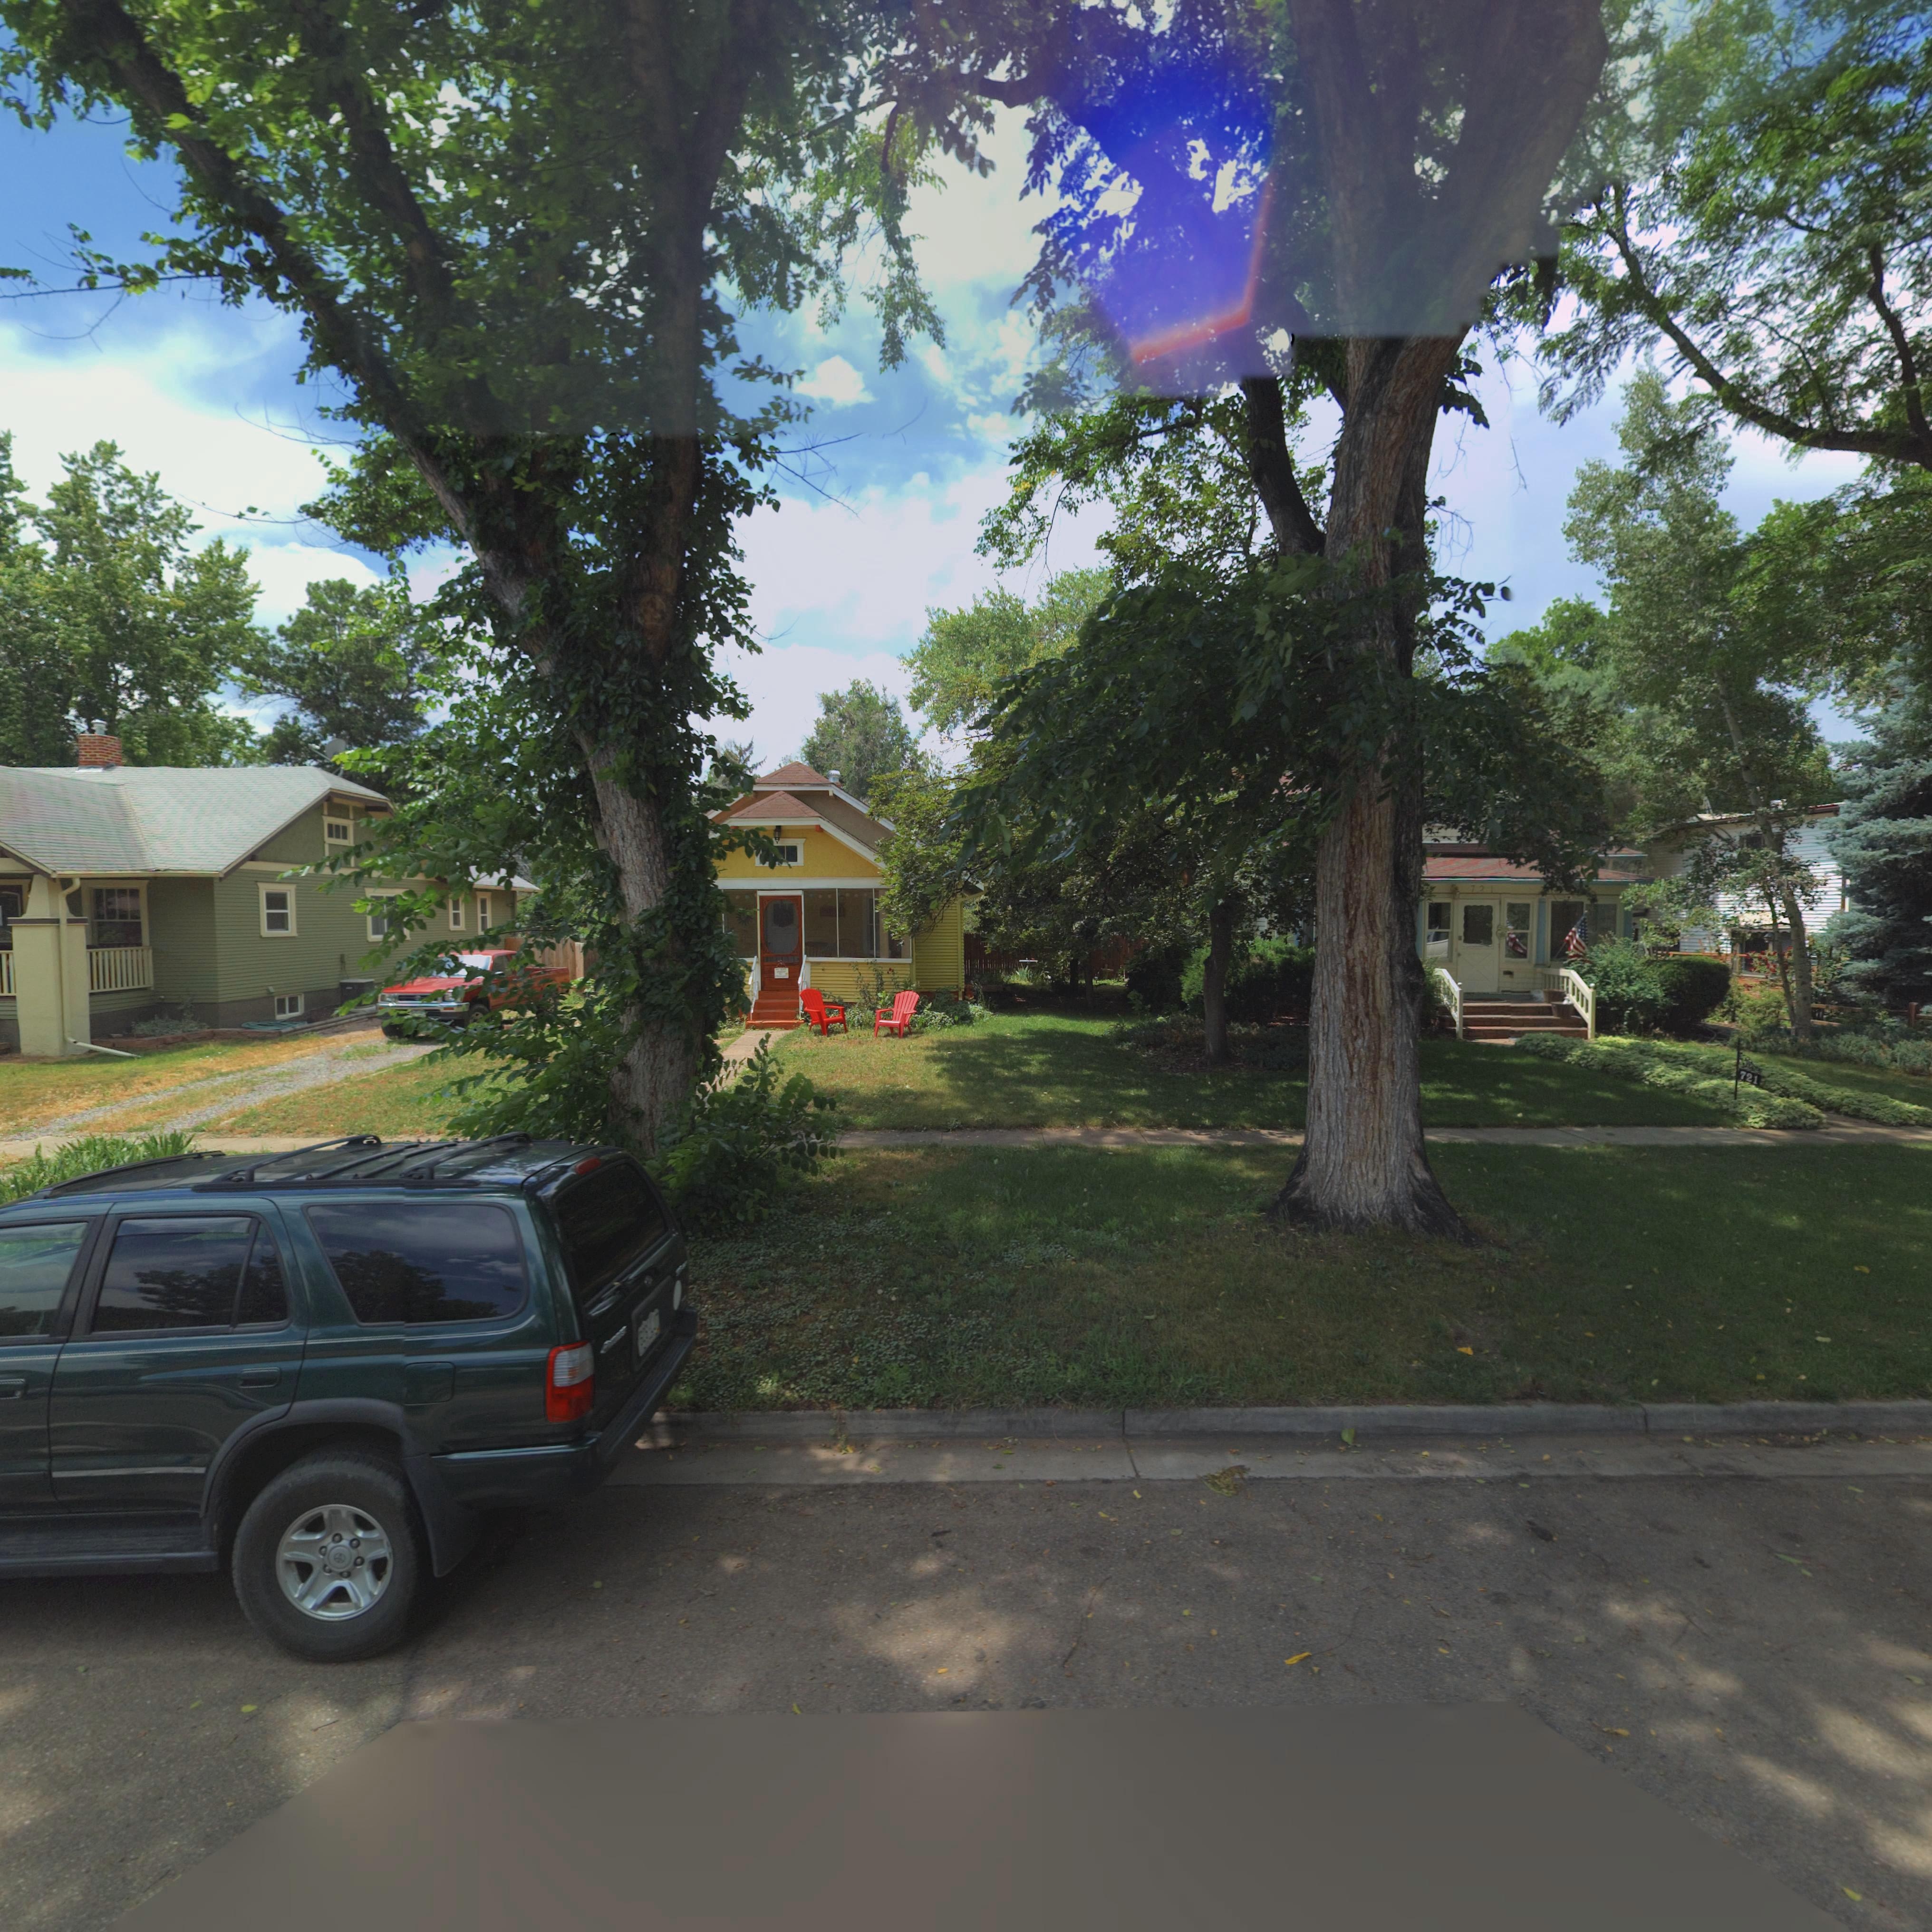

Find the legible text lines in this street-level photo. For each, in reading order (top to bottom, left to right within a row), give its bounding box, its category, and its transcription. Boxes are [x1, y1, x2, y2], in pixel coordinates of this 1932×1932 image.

[1469, 884, 1494, 894] StreetNumber: 721
[1740, 1070, 1758, 1085] StreetNumber: 721